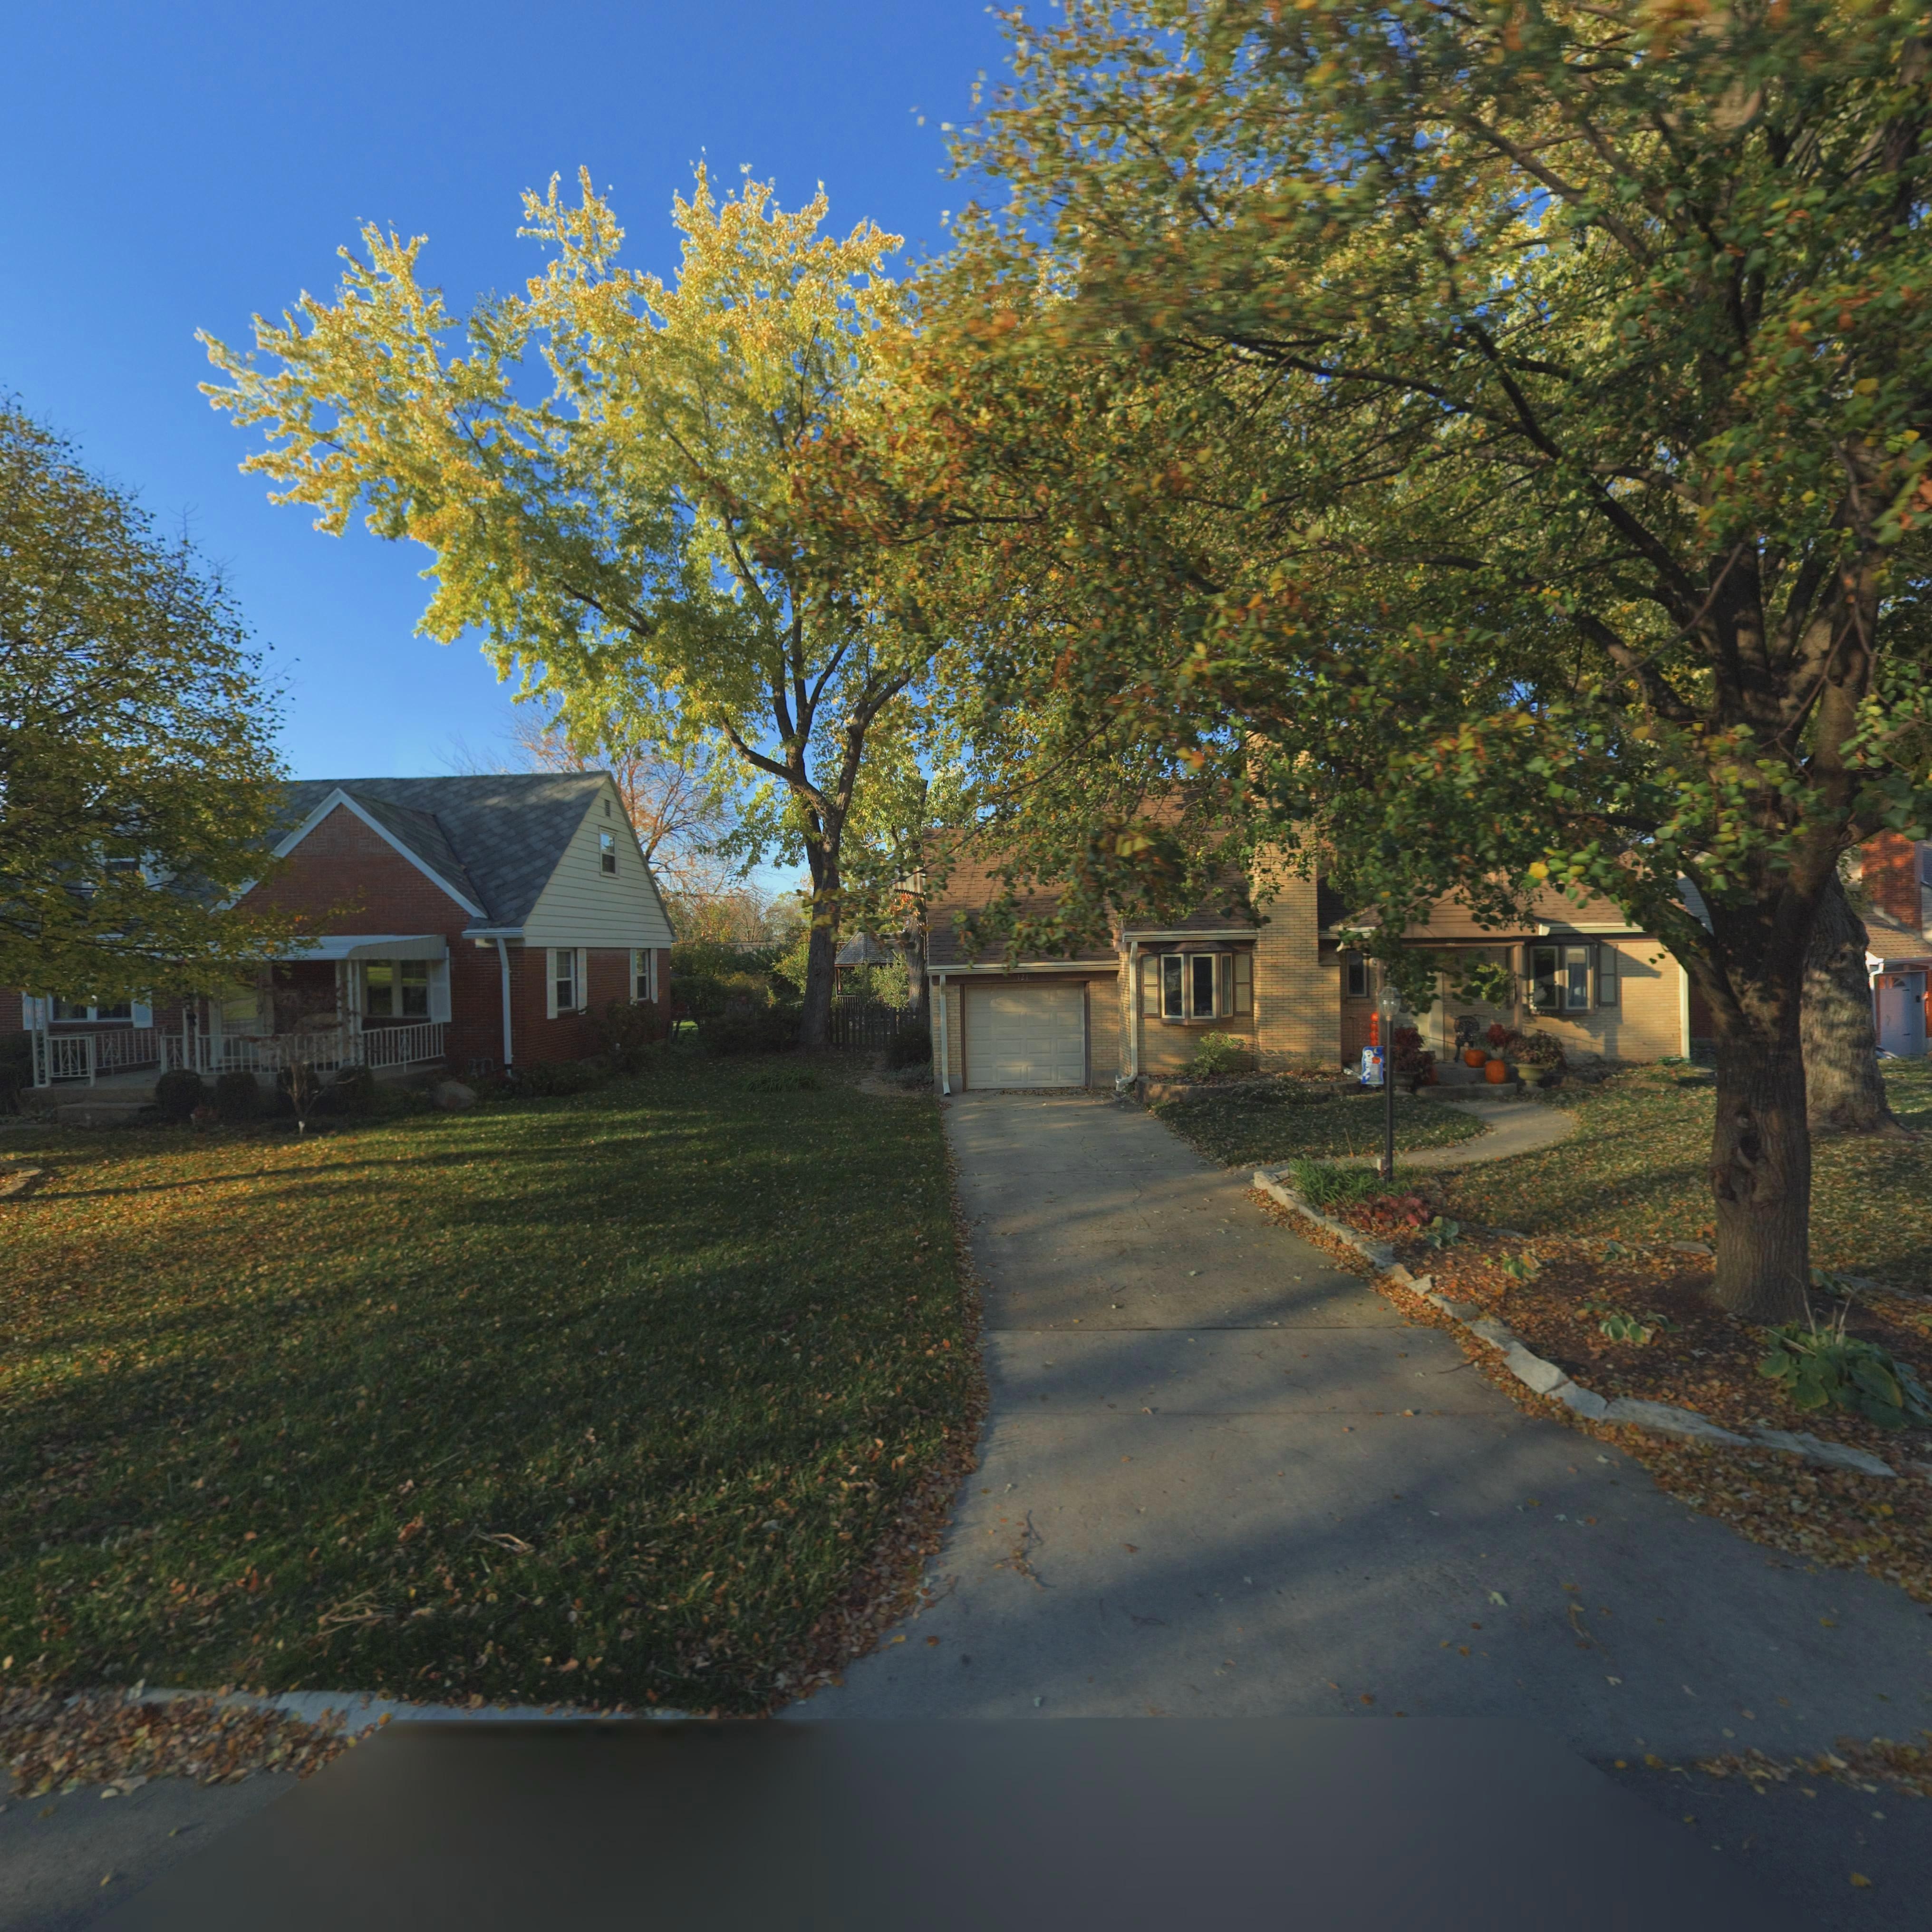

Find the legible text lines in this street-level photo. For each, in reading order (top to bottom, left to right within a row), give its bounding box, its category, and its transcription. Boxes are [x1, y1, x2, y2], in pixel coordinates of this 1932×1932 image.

[1017, 973, 1029, 982] StreetNumber: 121